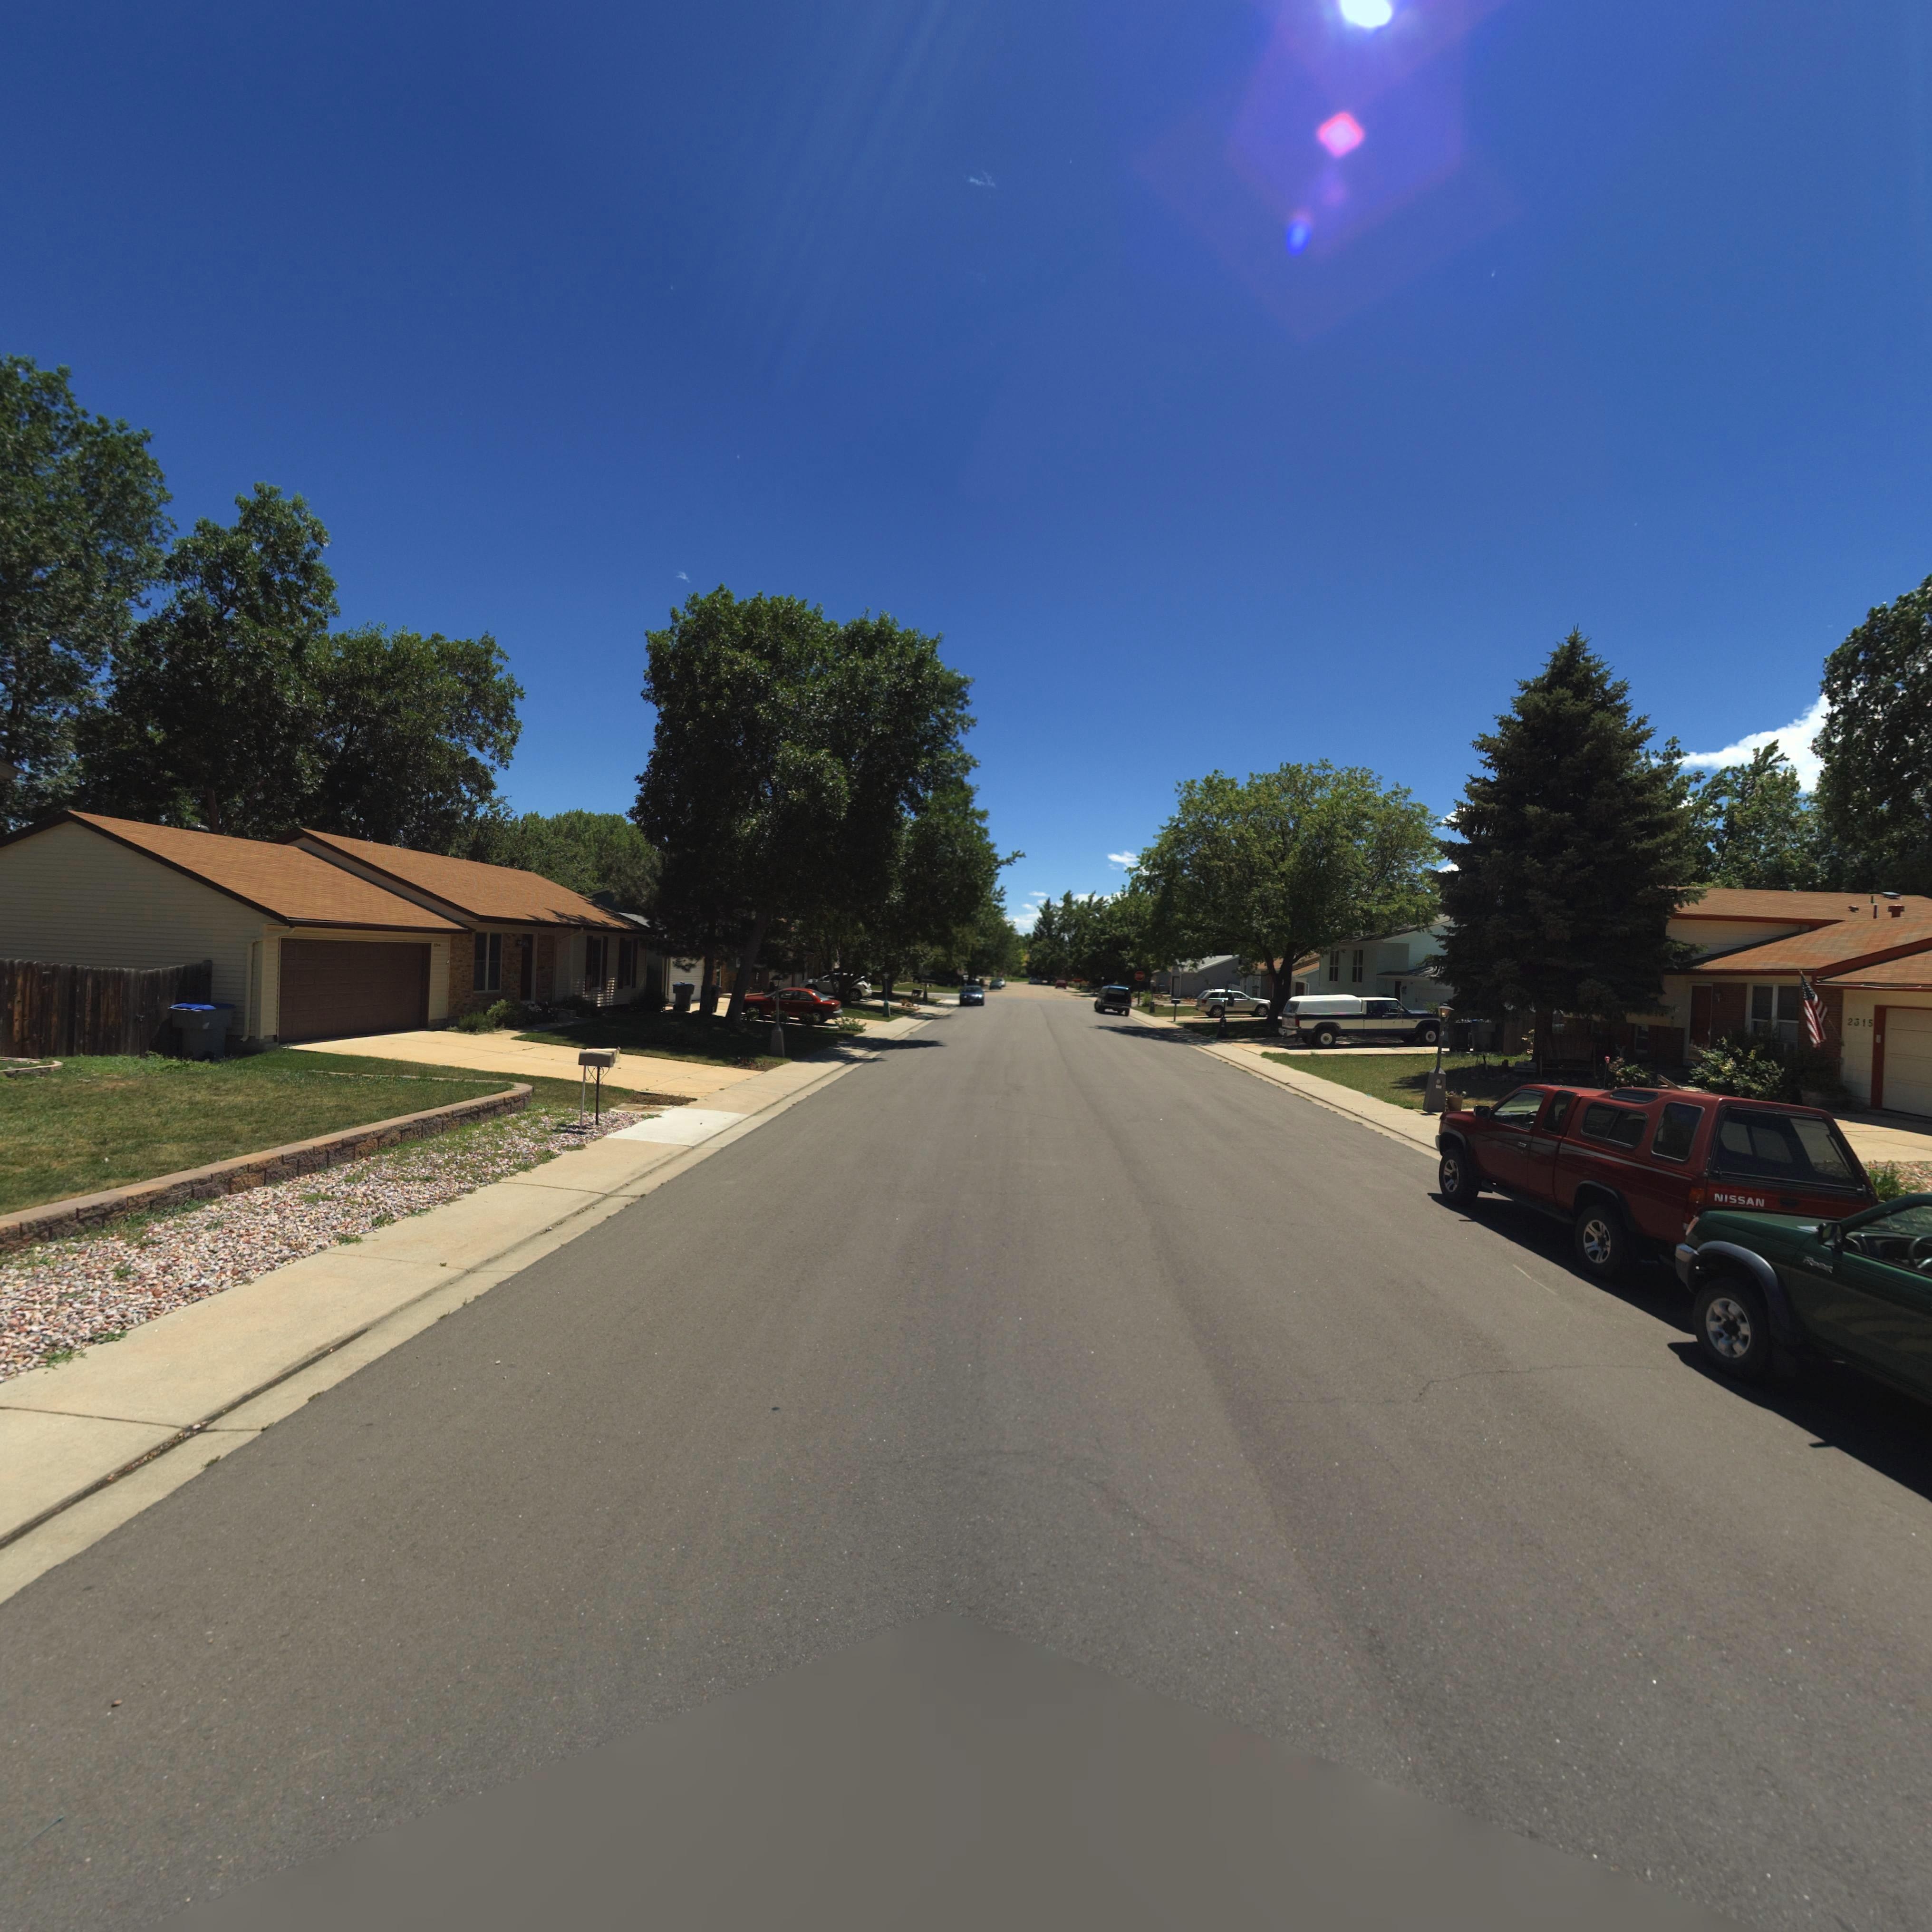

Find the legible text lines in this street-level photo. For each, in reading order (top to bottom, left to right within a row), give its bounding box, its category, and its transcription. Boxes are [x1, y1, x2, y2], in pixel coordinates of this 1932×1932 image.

[433, 942, 441, 947] StreetNumber: 2***
[1847, 1016, 1874, 1028] StreetNumber: 2315